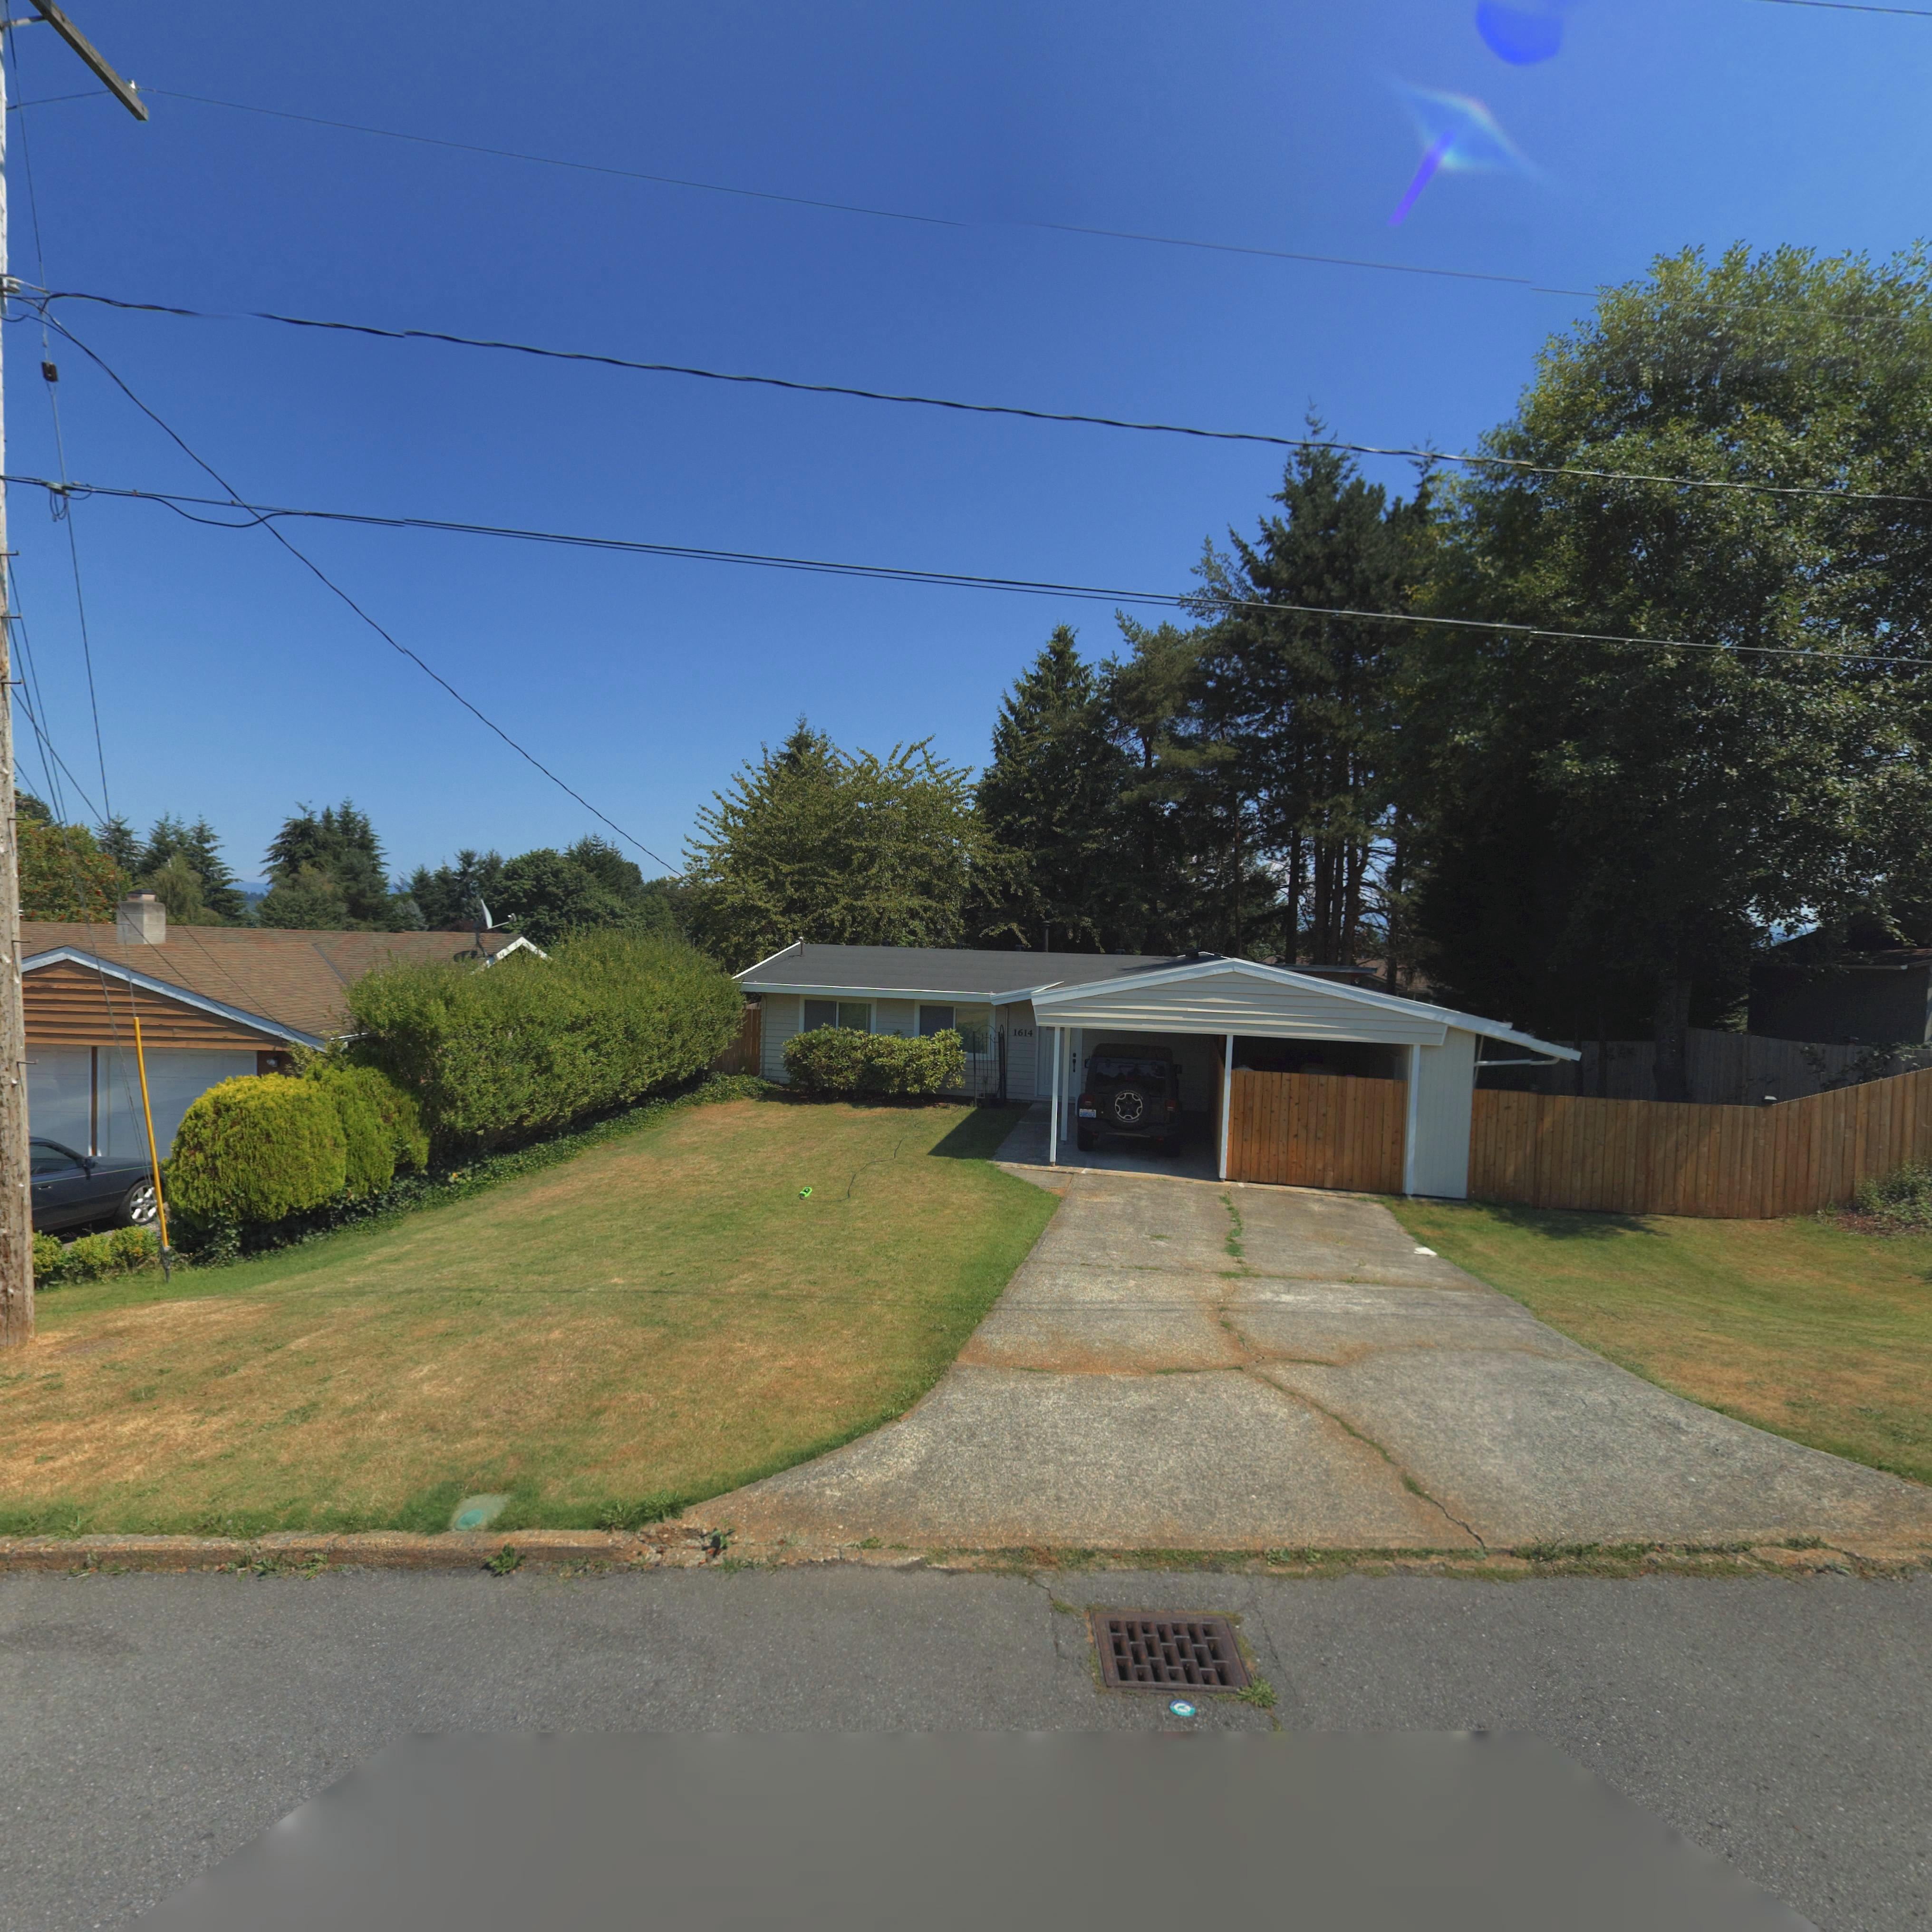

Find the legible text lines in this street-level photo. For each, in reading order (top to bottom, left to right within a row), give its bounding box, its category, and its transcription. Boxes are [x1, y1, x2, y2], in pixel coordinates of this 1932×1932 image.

[1014, 1029, 1032, 1036] StreetNumber: 1614